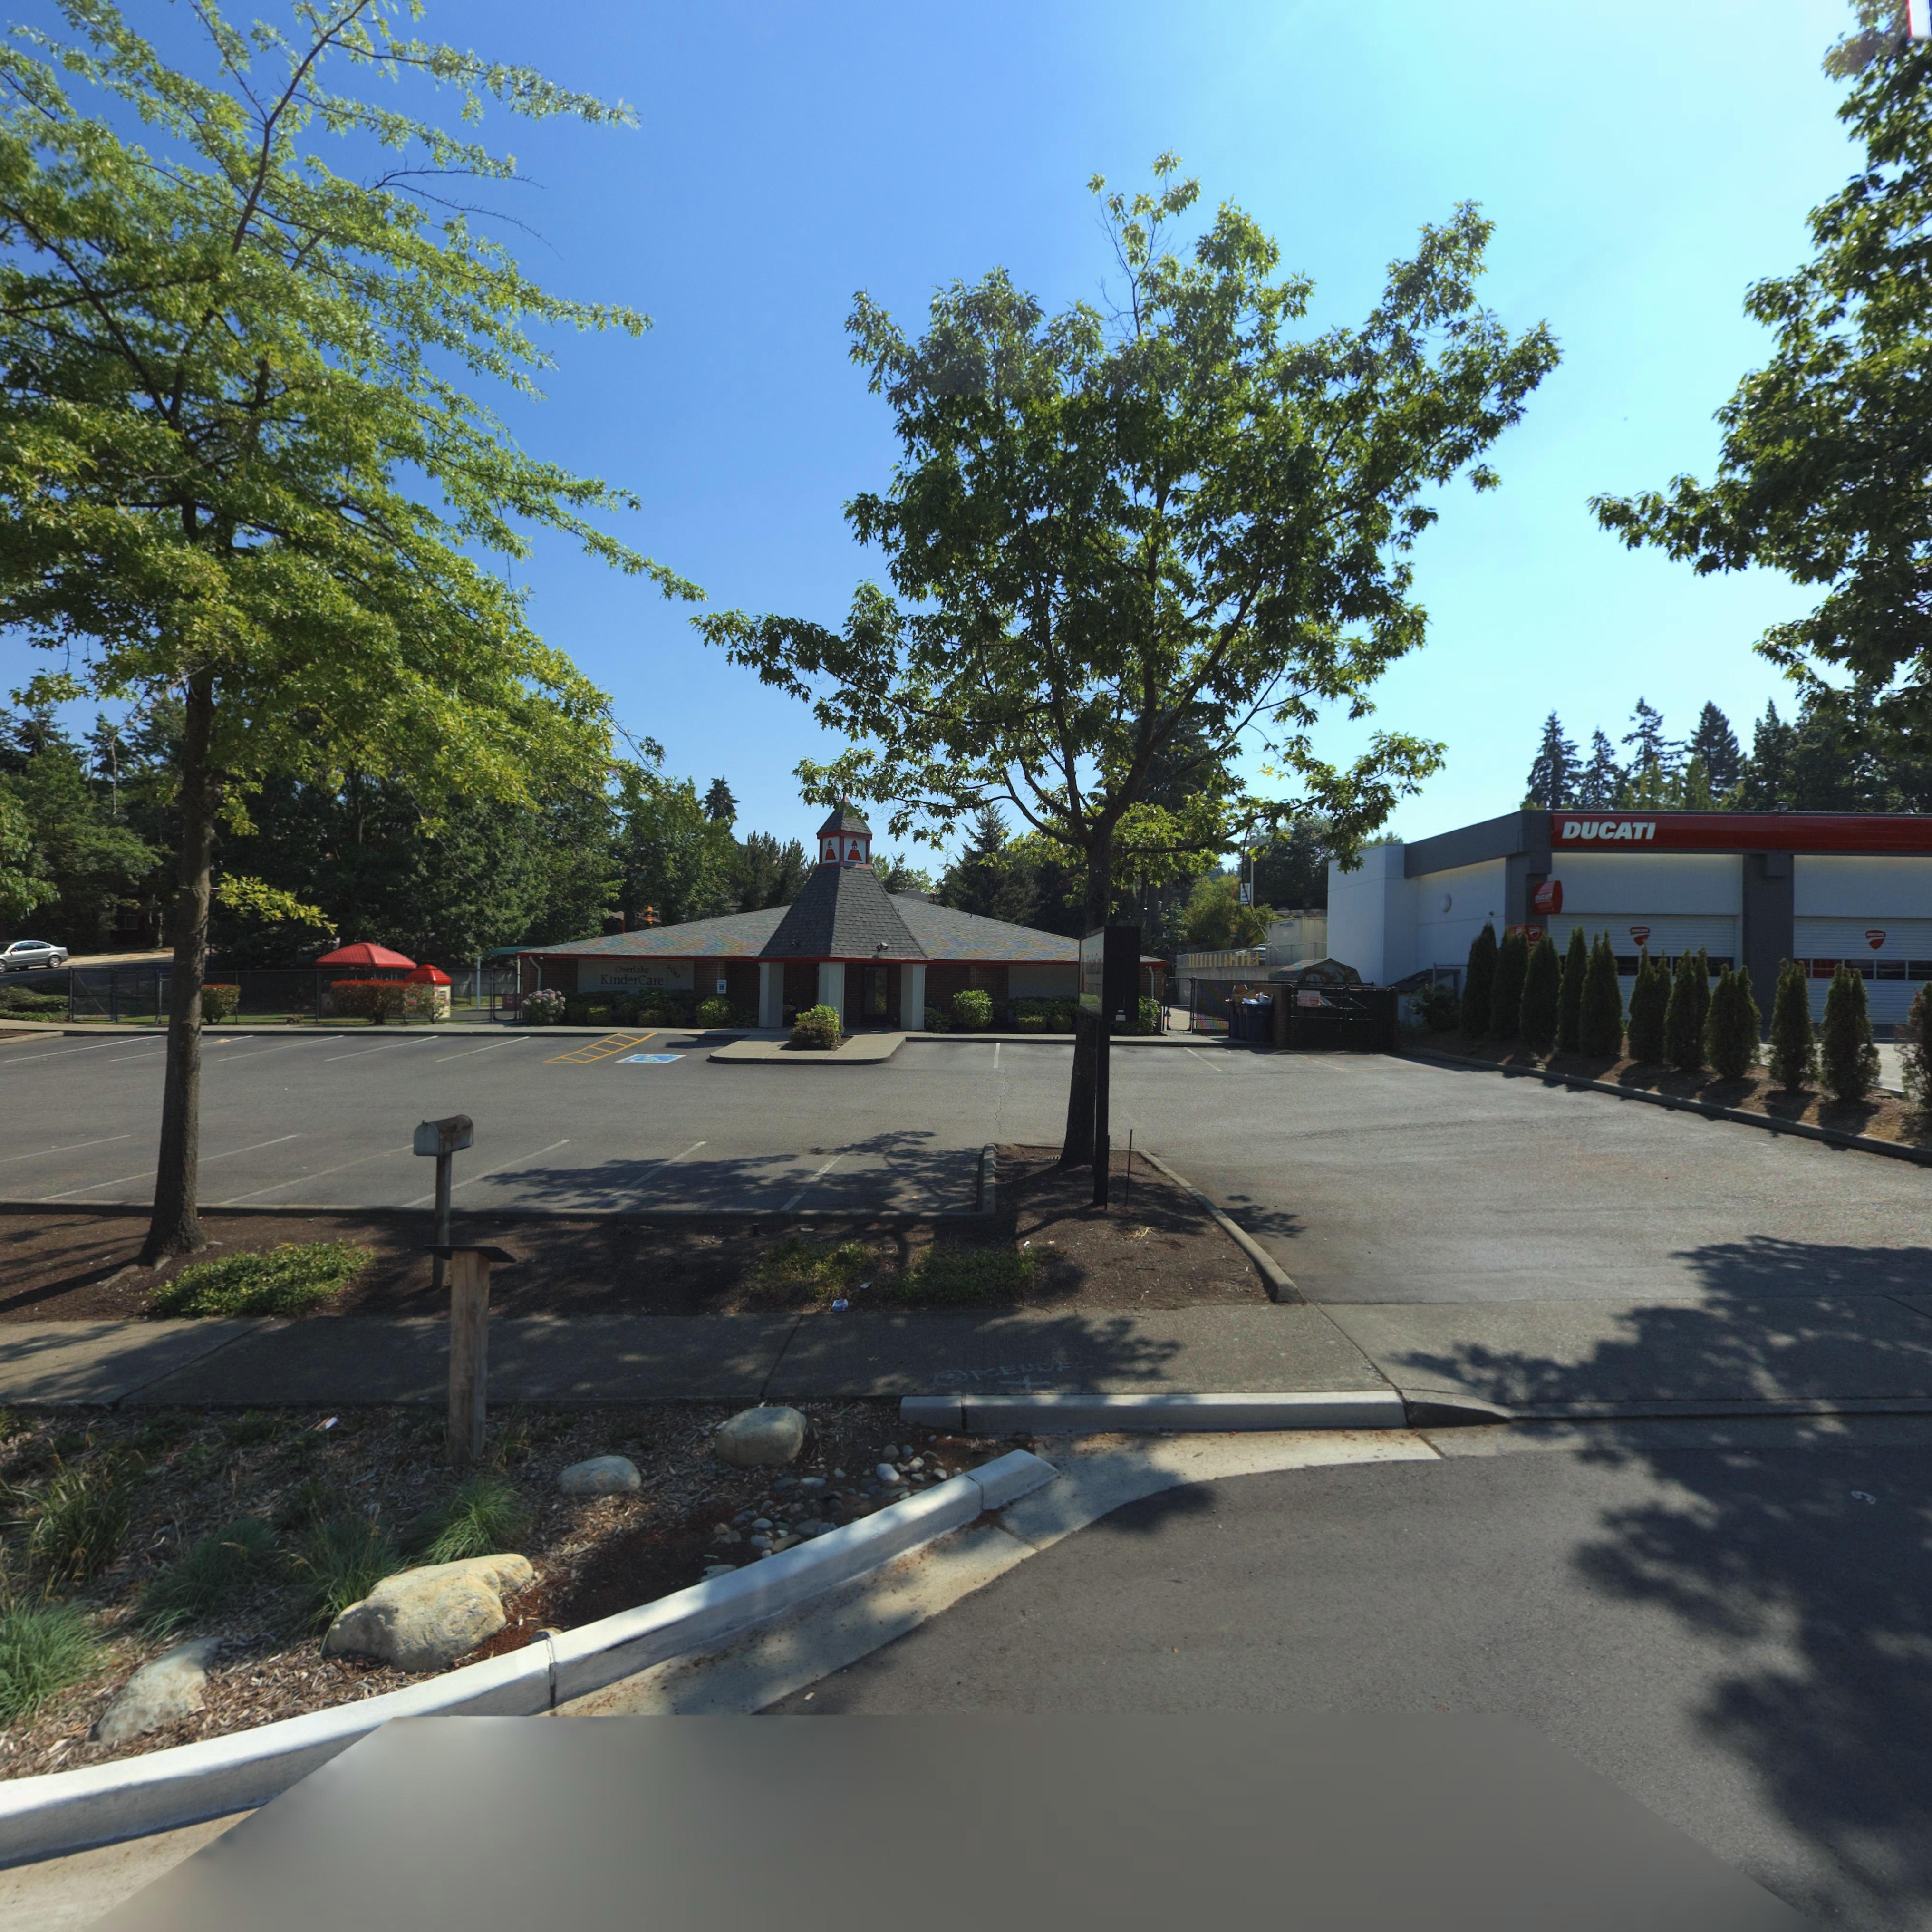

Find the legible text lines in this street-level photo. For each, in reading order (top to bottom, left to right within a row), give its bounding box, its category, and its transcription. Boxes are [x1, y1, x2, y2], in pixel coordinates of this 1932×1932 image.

[1562, 821, 1656, 839] BusinessName: DUCATI
[613, 965, 651, 974] BusinessName: Overlake
[600, 974, 663, 985] BusinessName: KinderCare
[665, 963, 684, 980] StreetNumber: 2060